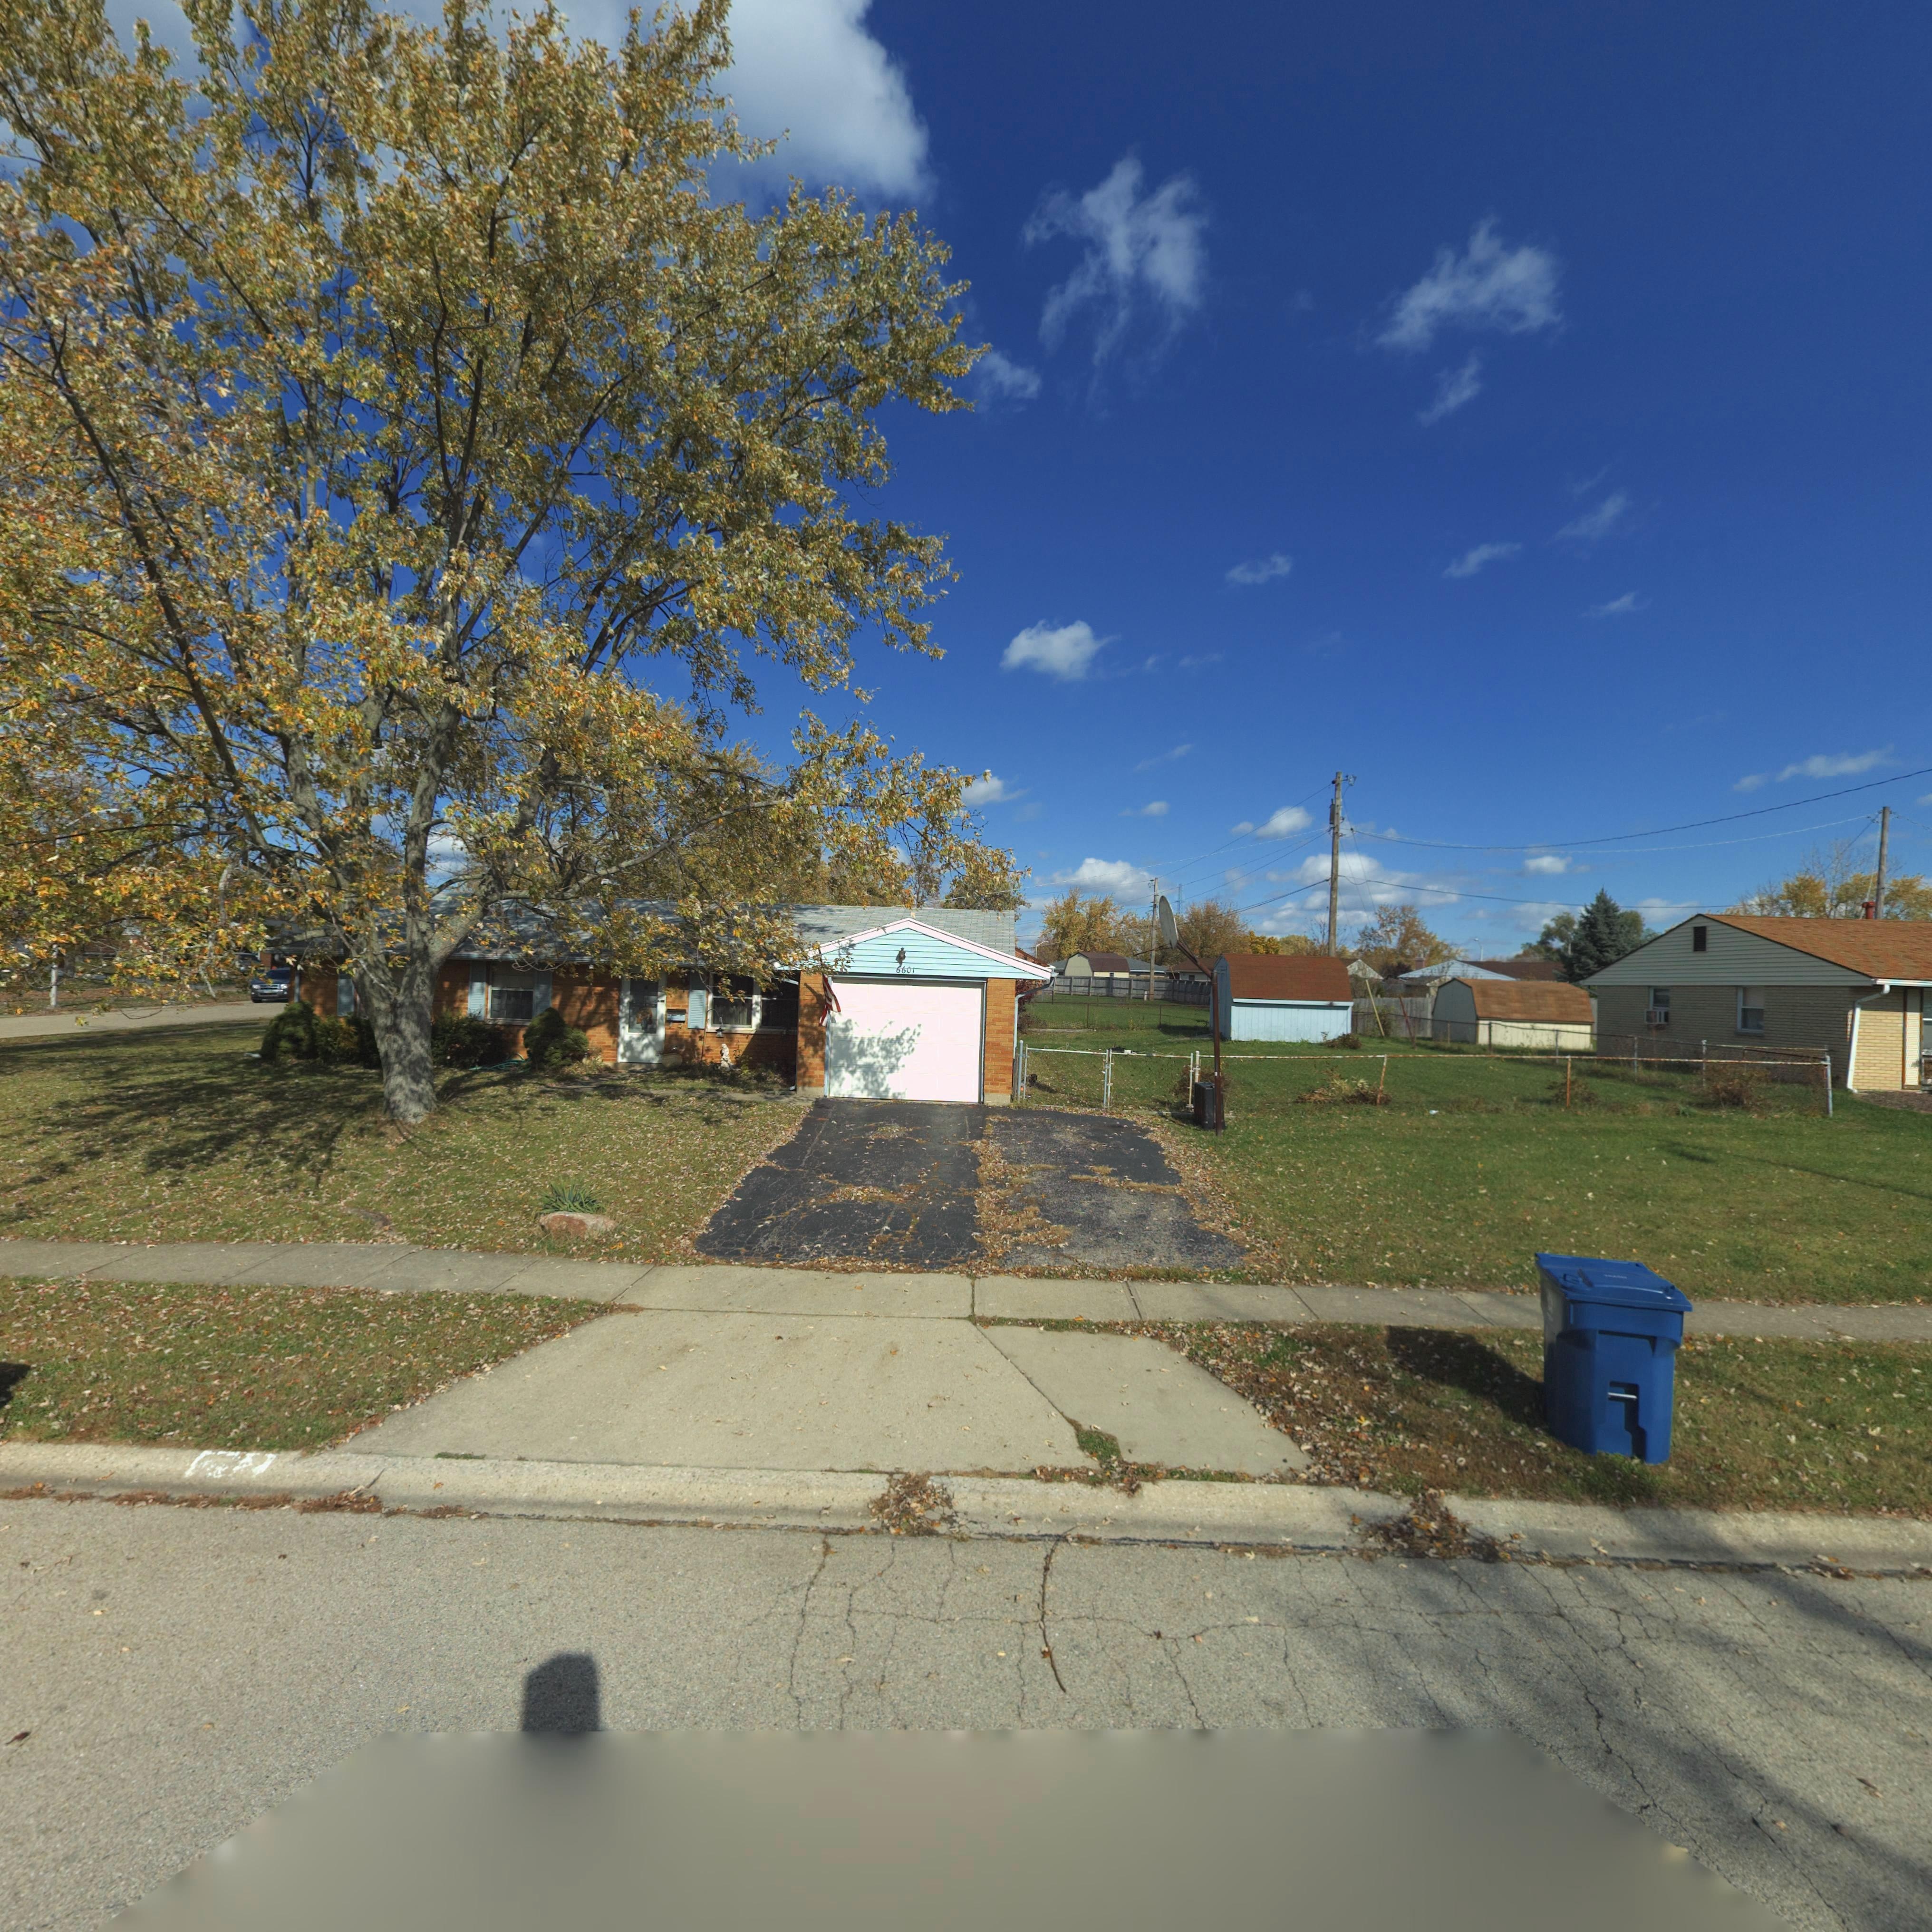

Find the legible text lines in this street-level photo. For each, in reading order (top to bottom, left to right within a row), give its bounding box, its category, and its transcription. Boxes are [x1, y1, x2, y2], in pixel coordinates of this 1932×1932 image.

[895, 966, 915, 974] StreetNumber: 6601\